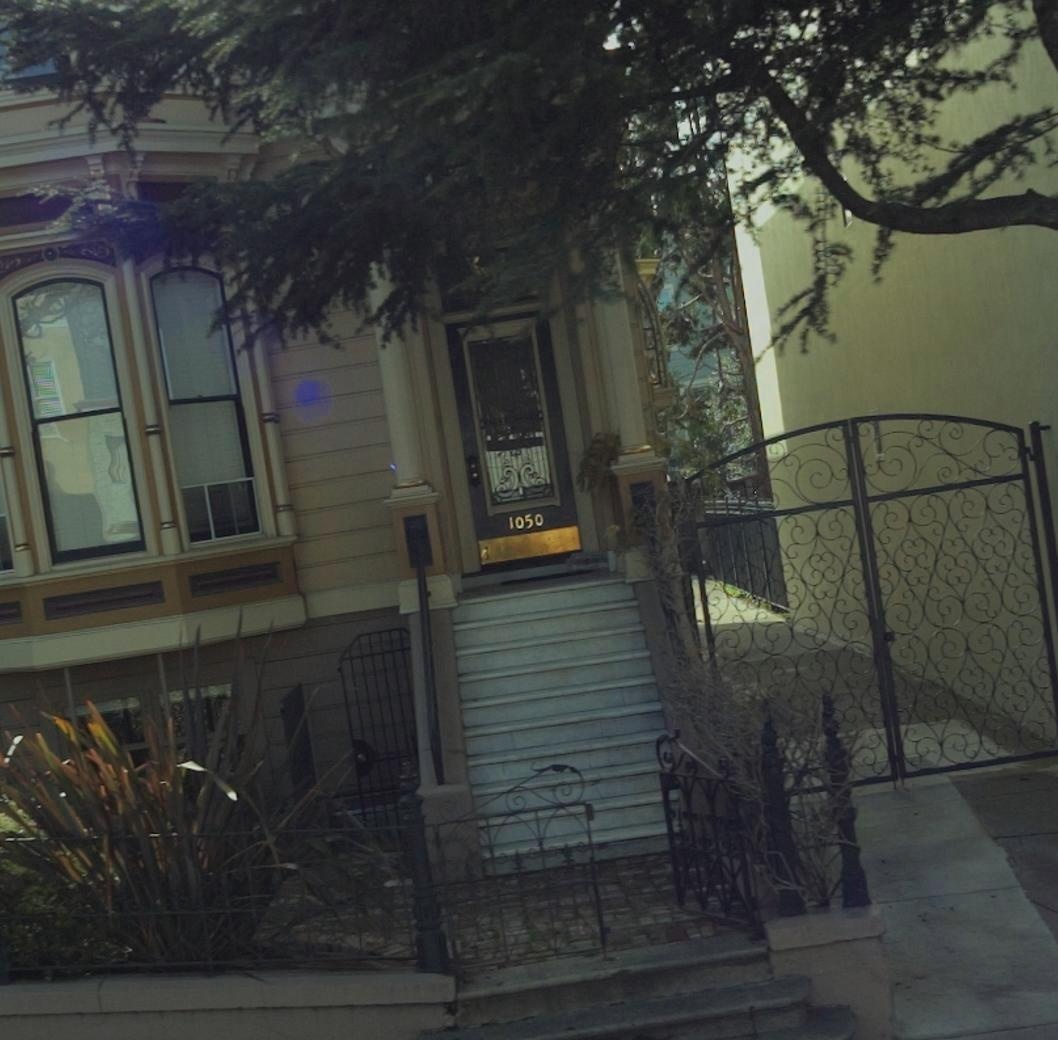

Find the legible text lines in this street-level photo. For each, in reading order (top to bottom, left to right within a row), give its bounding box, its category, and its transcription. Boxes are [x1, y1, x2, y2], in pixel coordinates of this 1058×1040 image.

[507, 511, 545, 531] StreetNumber: 1050